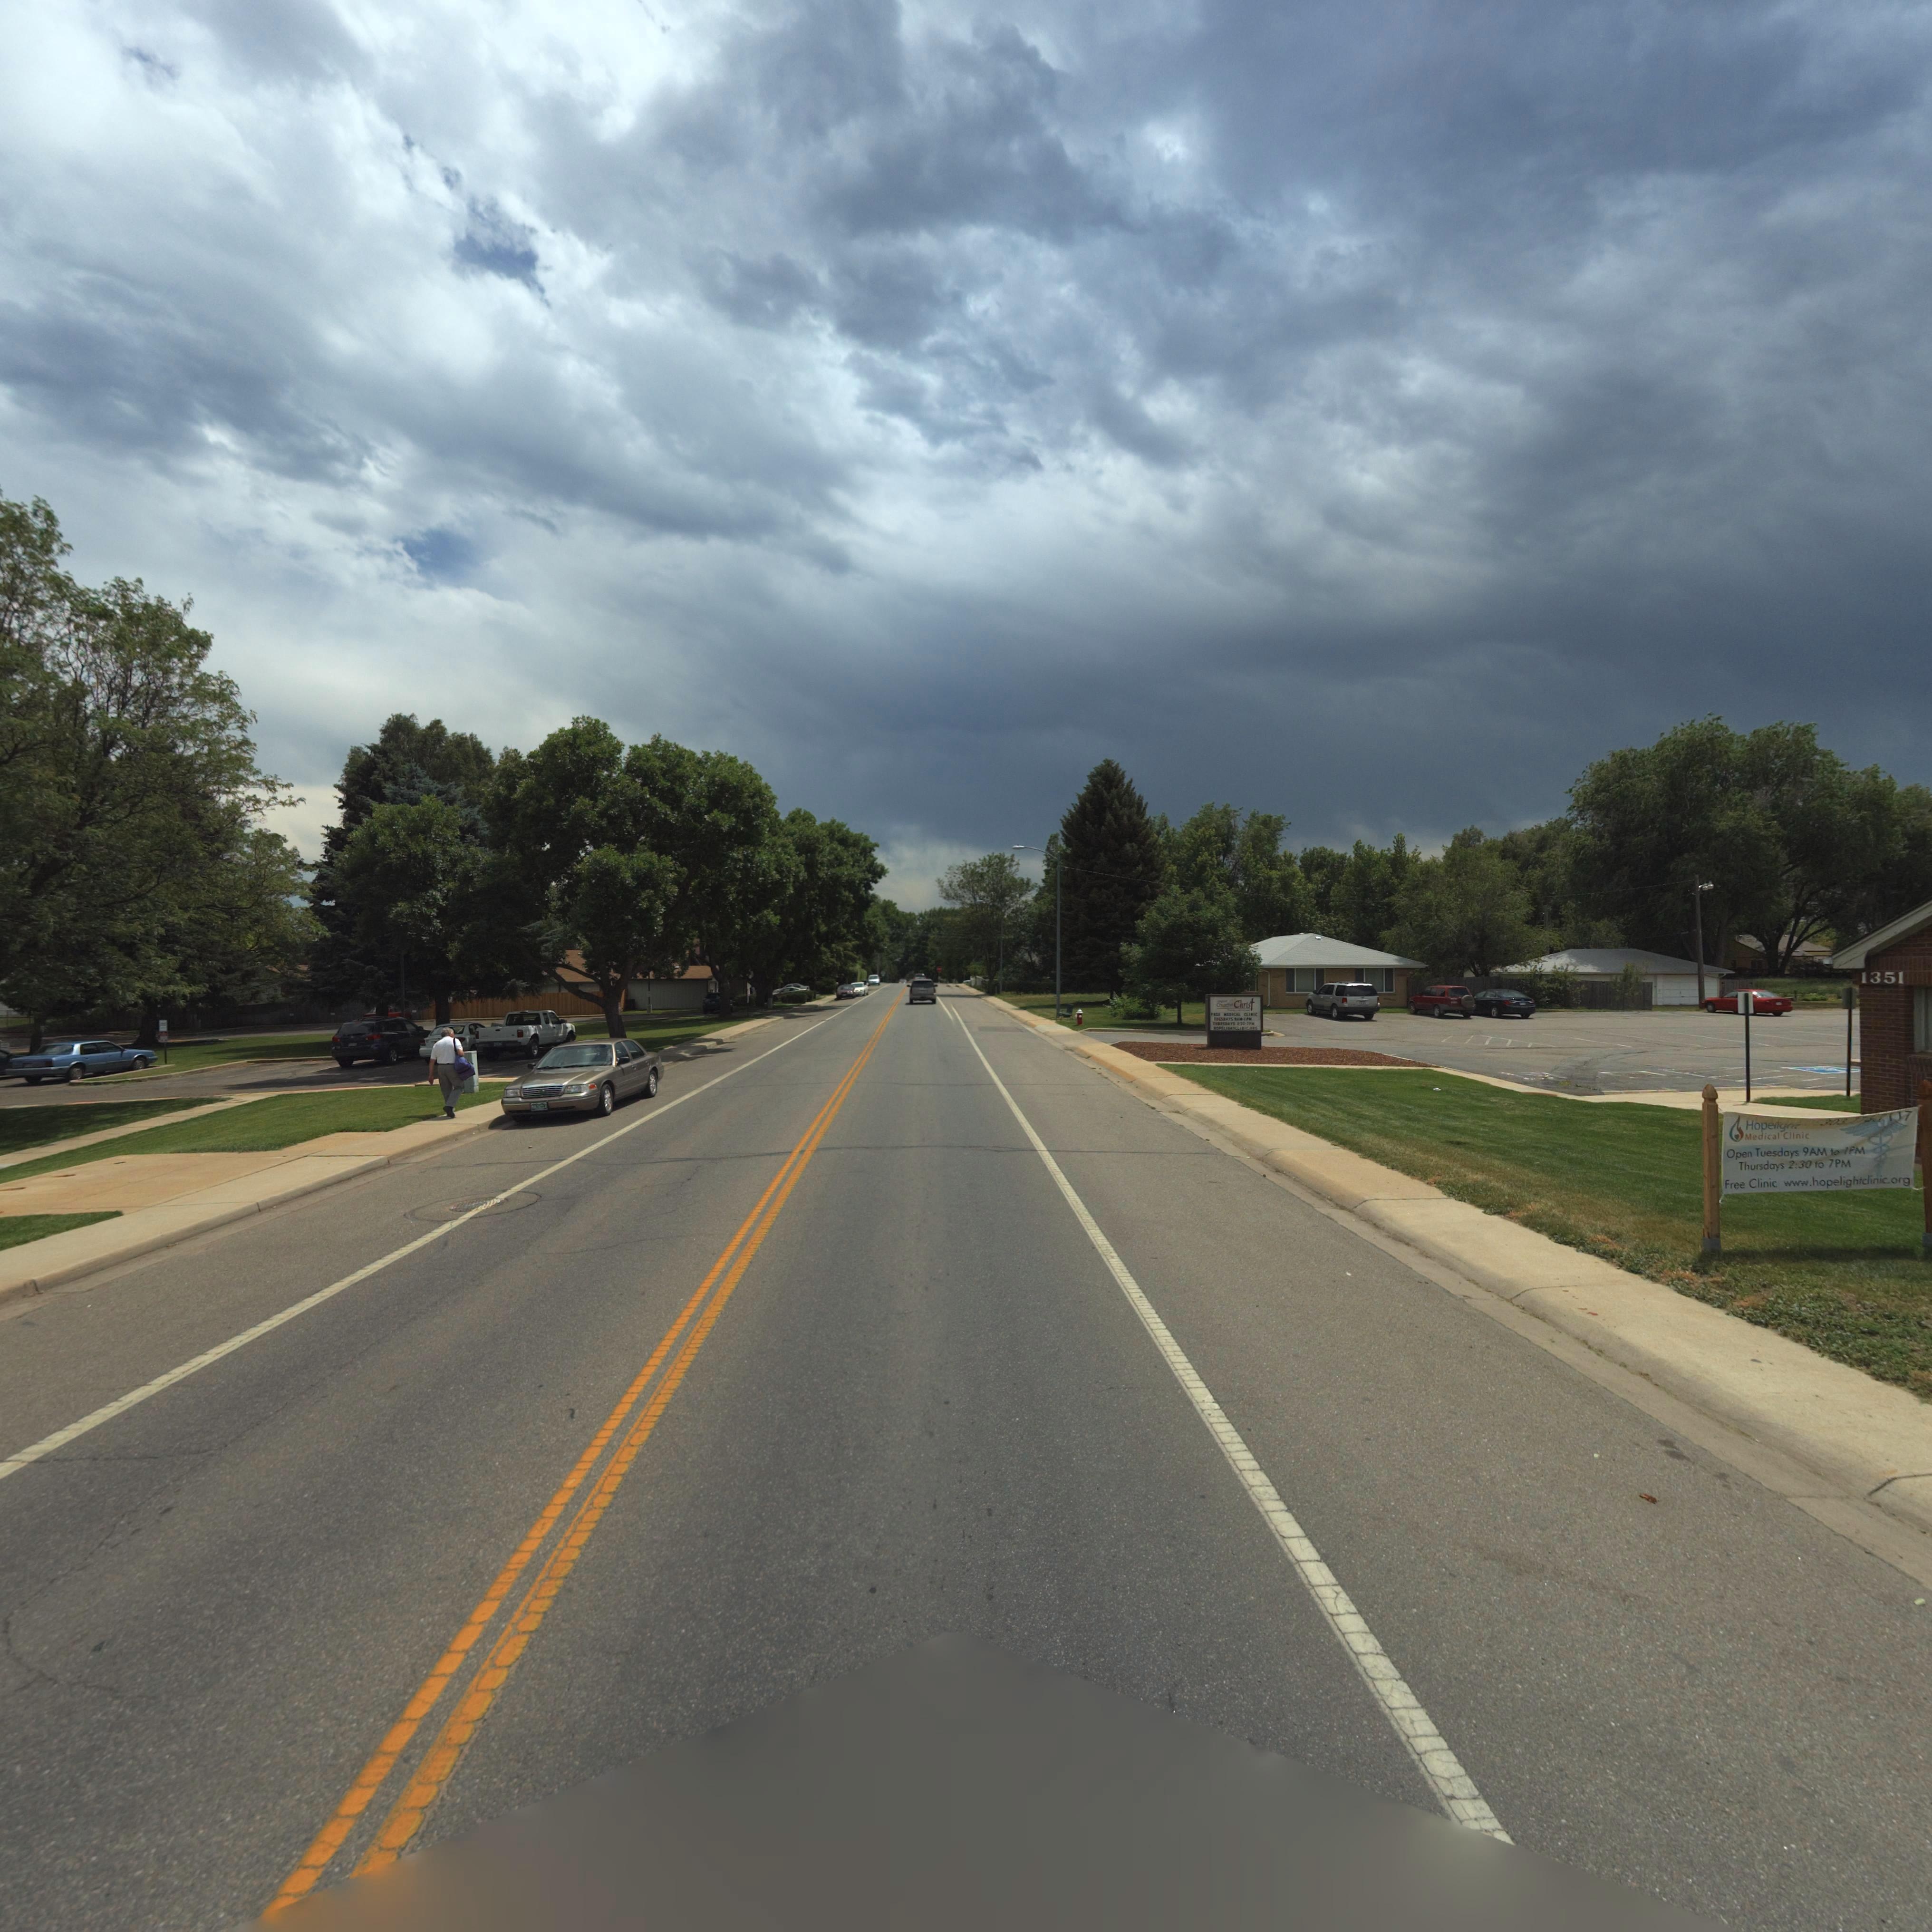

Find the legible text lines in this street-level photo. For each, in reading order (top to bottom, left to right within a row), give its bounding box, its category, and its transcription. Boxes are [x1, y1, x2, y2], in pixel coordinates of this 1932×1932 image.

[1860, 970, 1904, 984] StreetNumber: 1351
[1216, 997, 1255, 1011] BusinessName: Church o* Christ